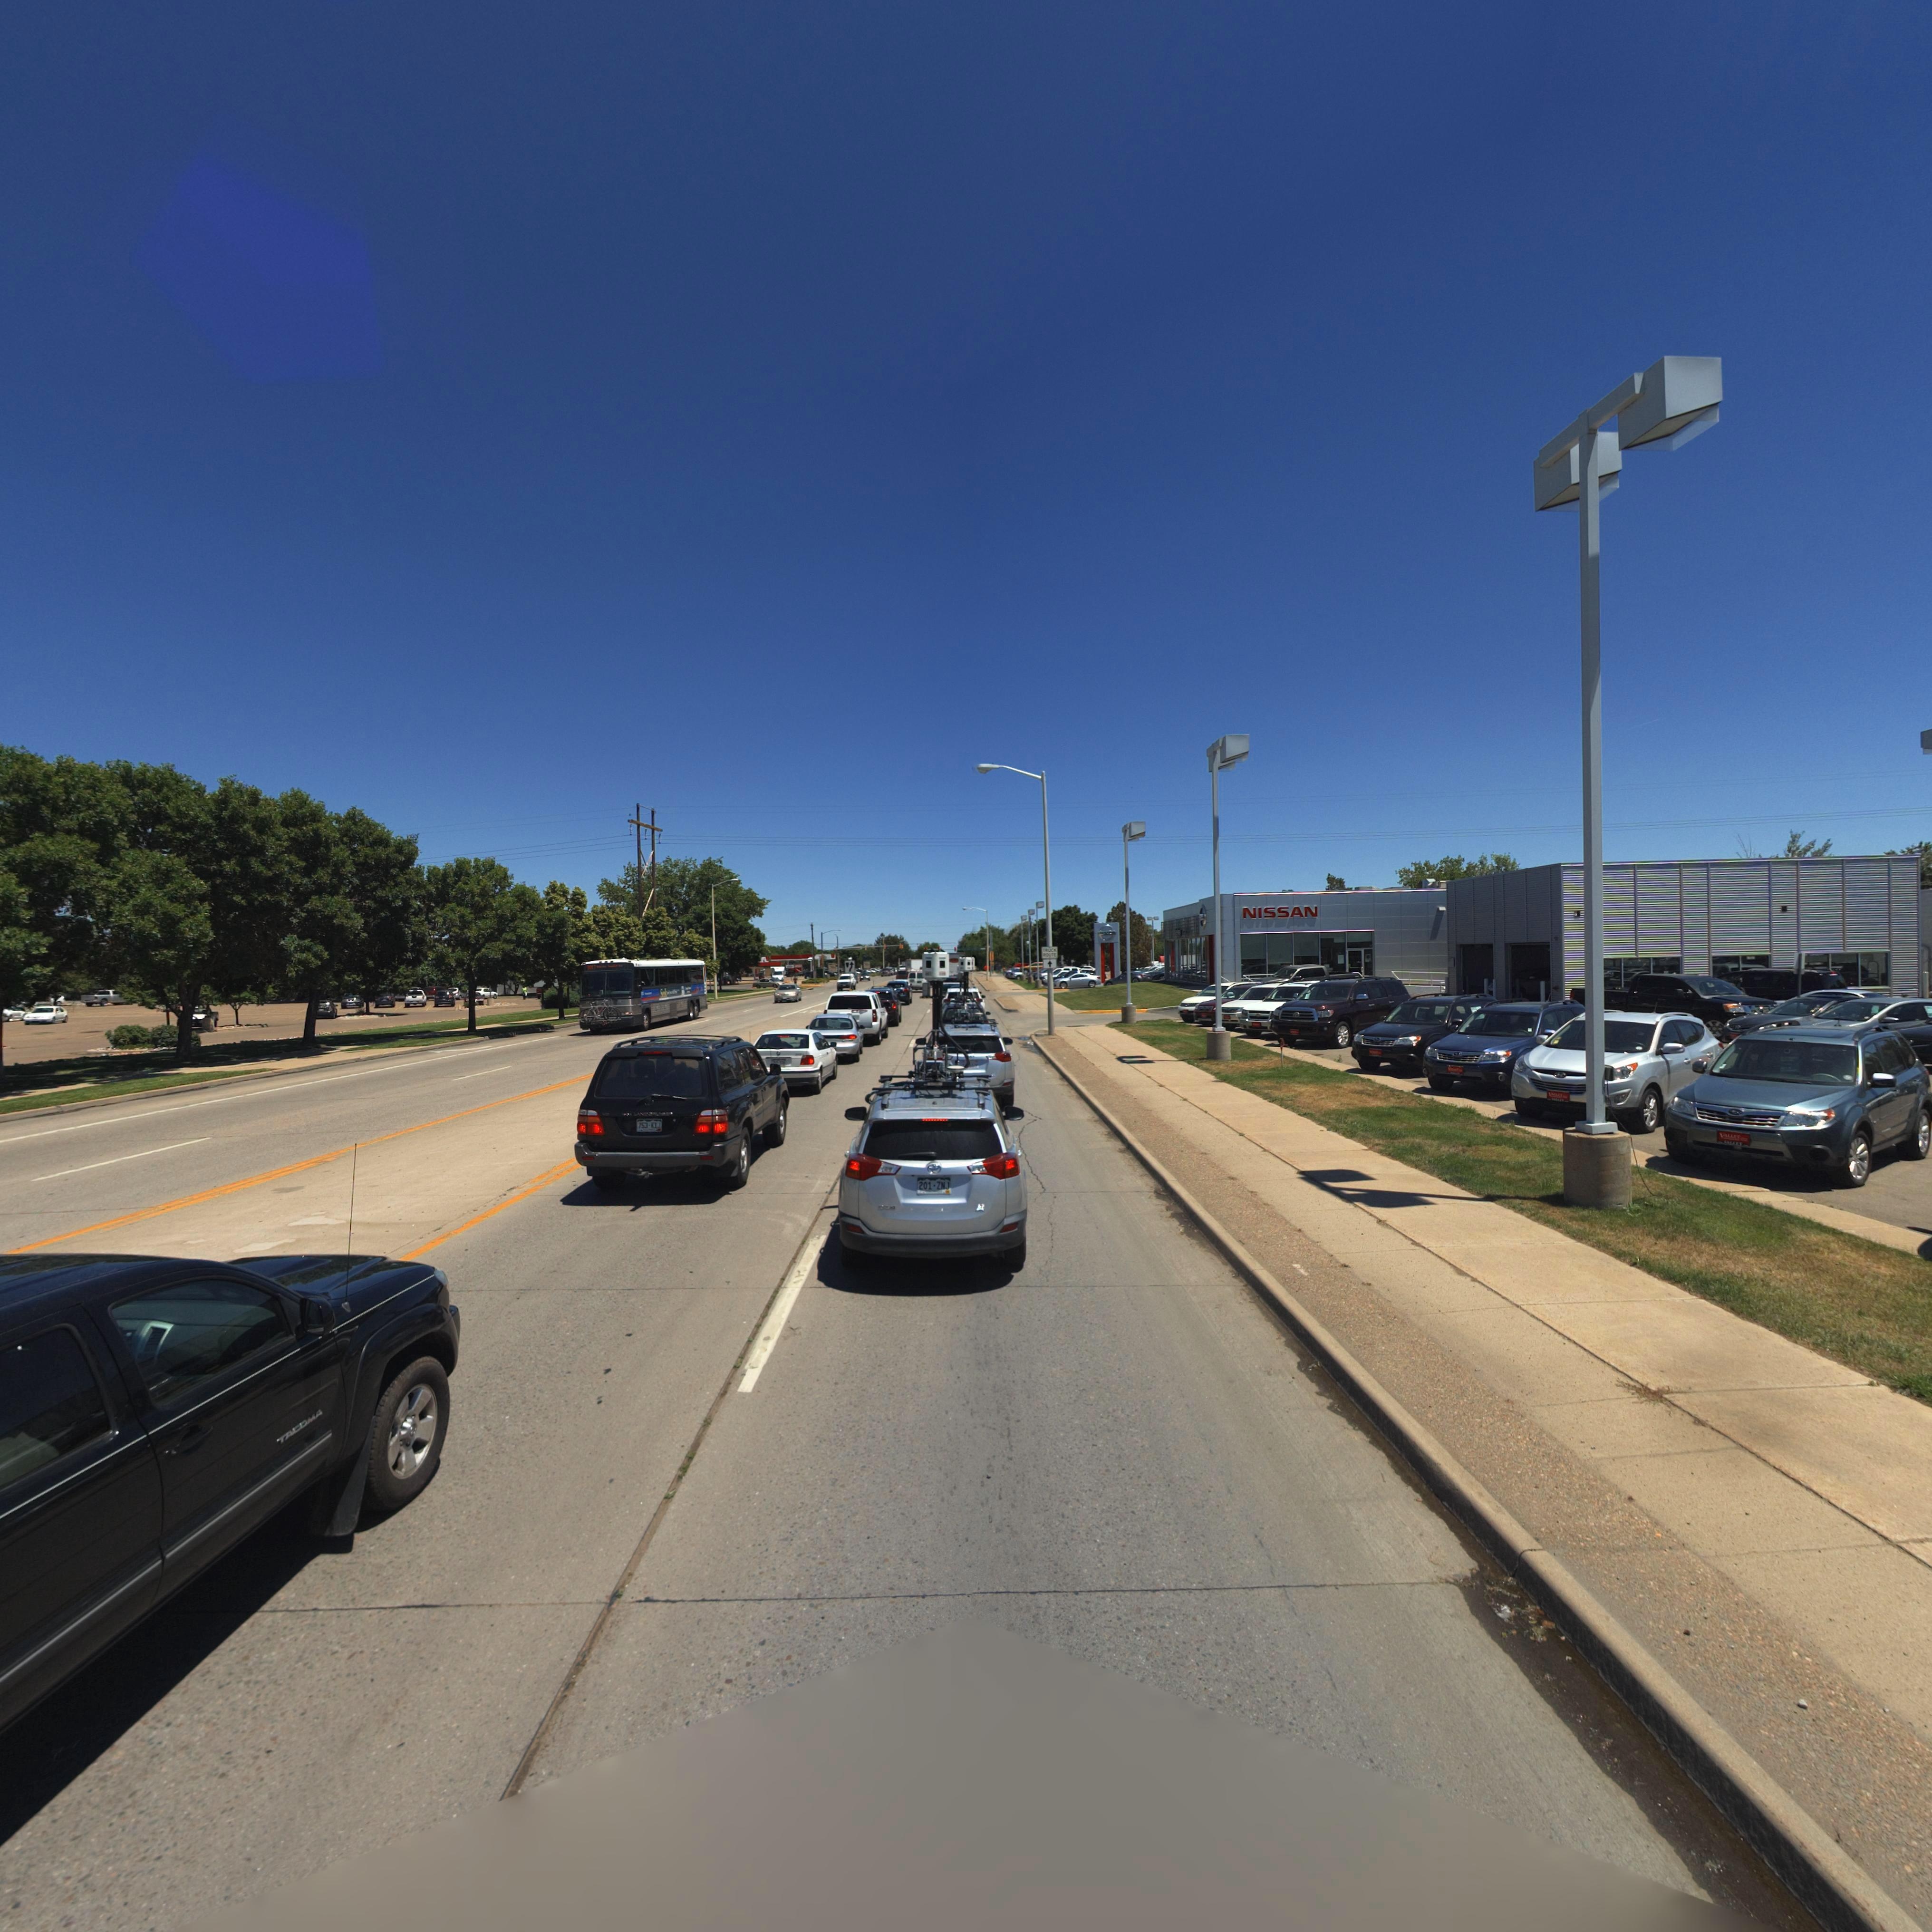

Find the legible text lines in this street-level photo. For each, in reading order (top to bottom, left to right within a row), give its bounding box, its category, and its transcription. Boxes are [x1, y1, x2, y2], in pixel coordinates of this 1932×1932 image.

[1242, 906, 1317, 919] BusinessName: NISSAN